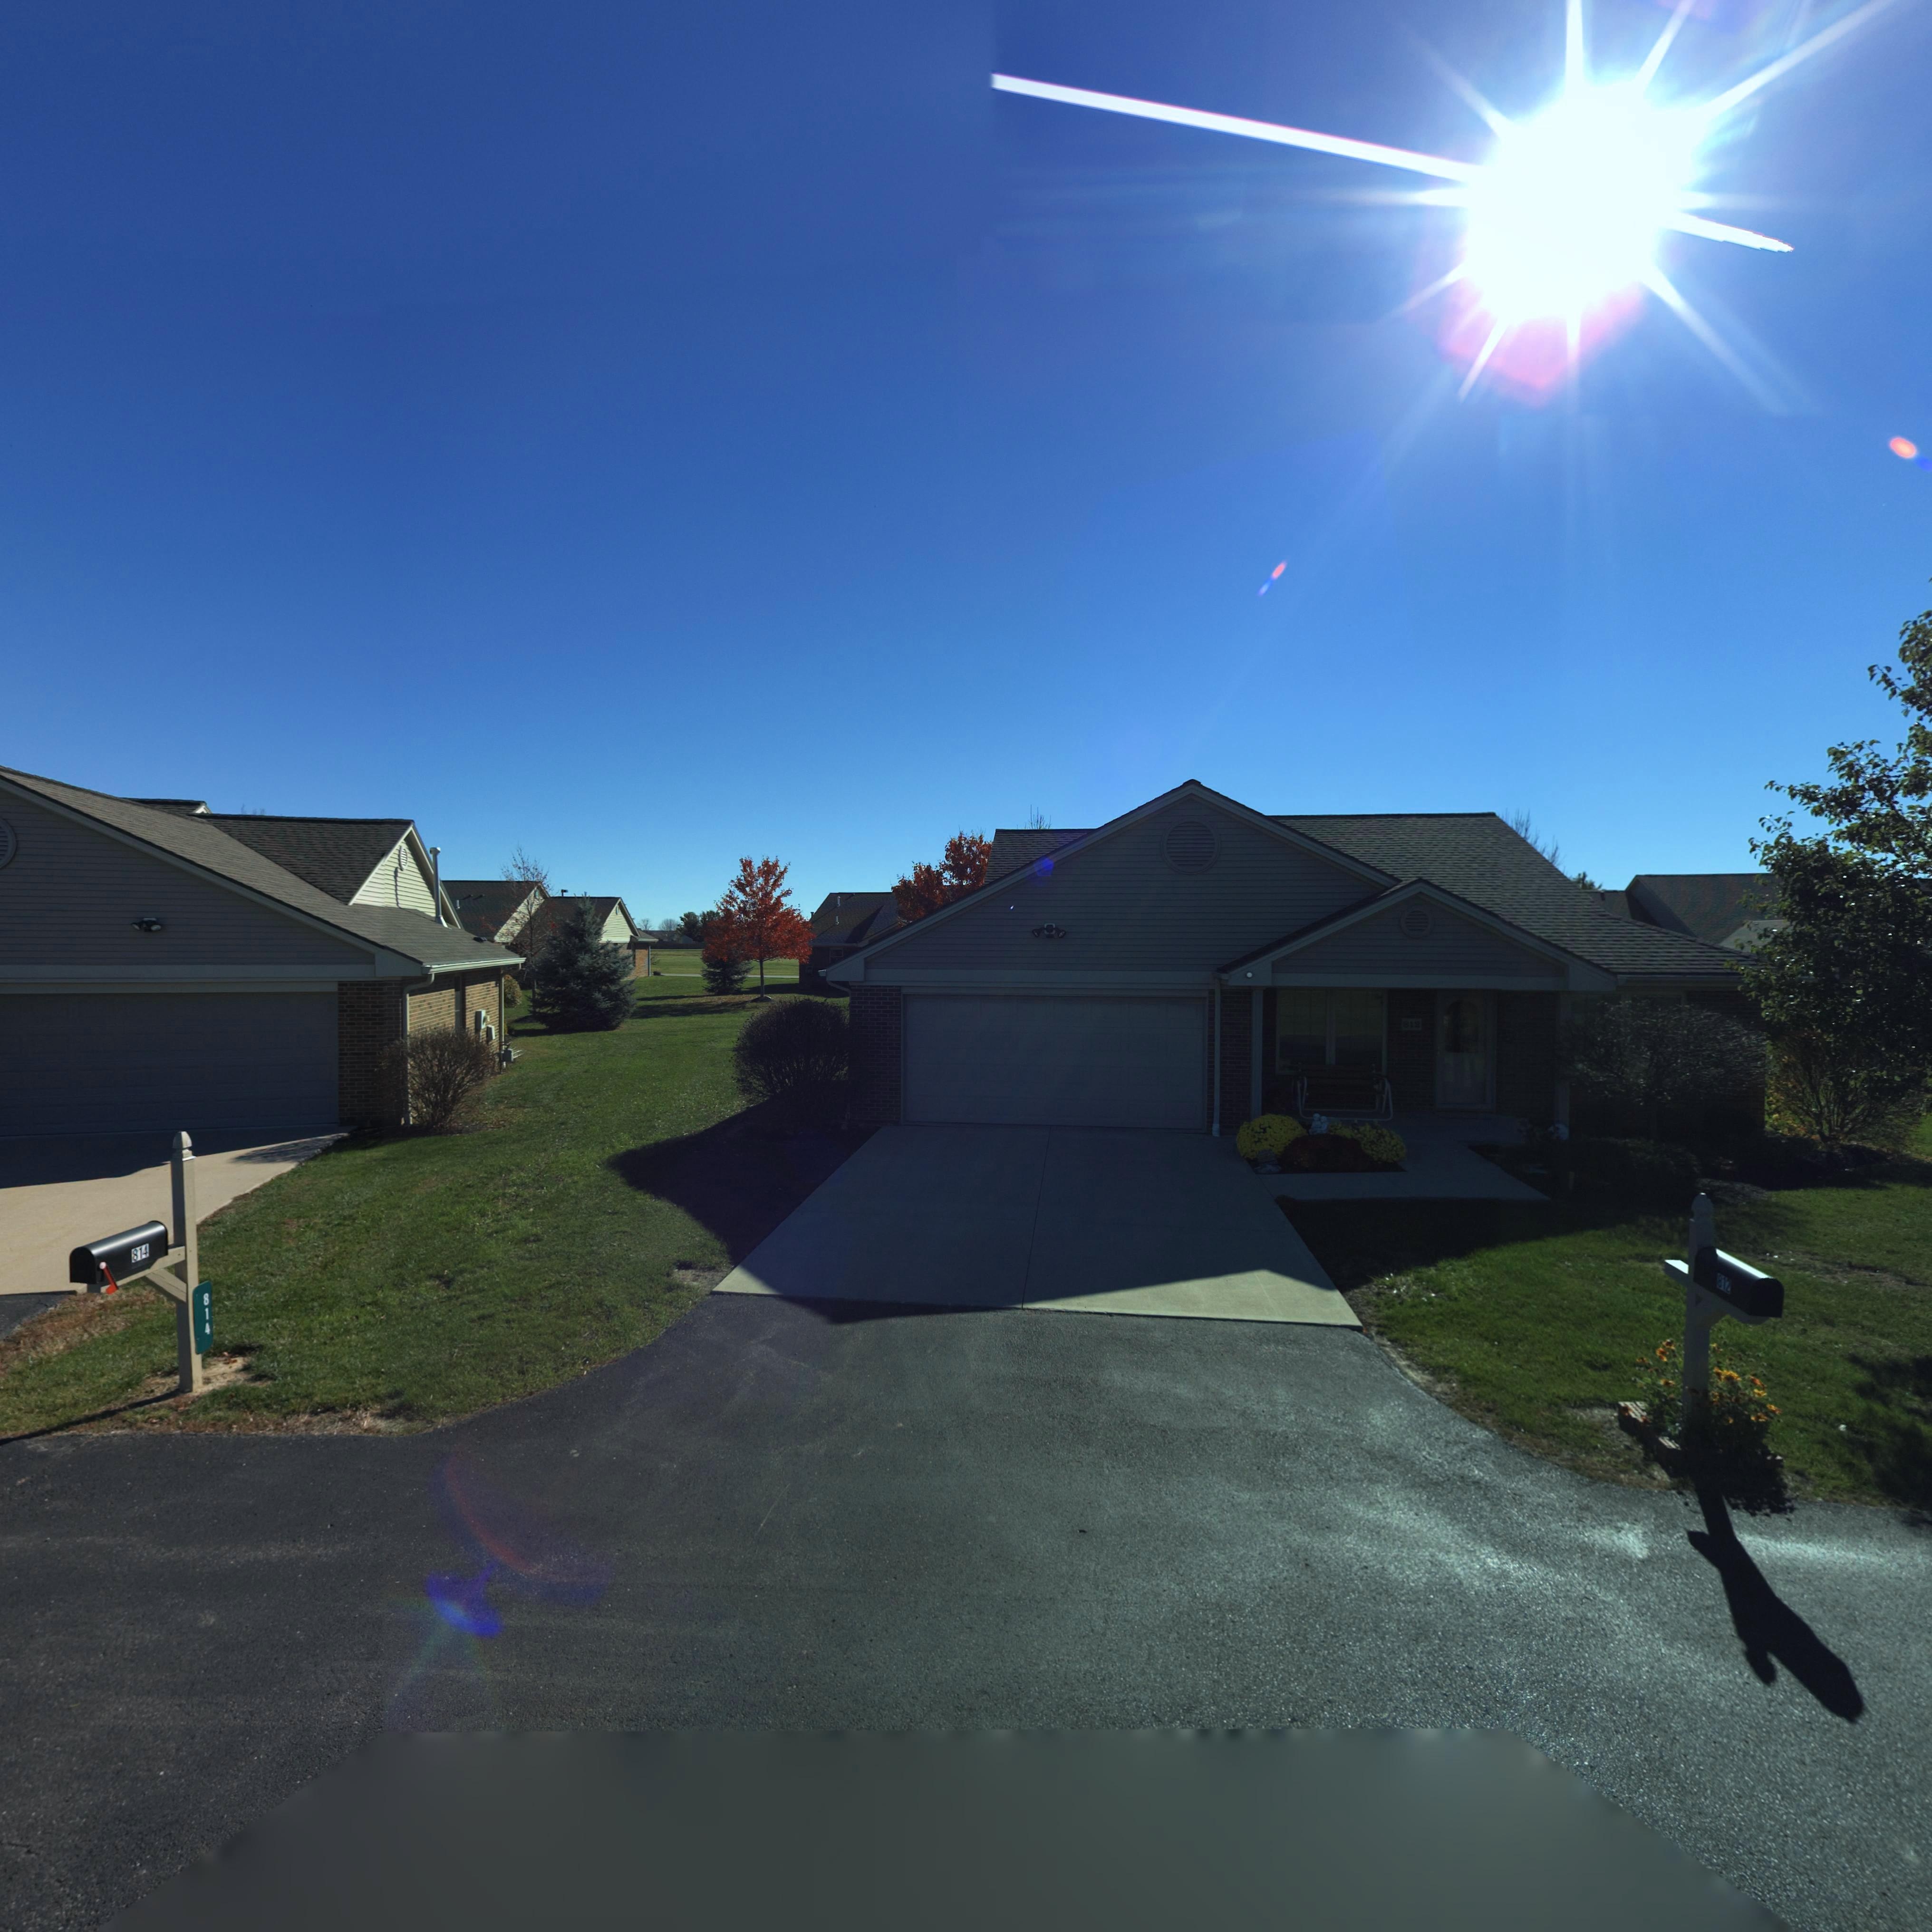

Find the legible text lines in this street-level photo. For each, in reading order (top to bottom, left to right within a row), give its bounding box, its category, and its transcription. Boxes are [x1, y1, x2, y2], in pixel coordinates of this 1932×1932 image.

[1402, 1020, 1421, 1029] StreetNumber: 812
[132, 1243, 148, 1263] StreetNumber: 814
[1716, 1274, 1732, 1294] StreetNumber: 812
[203, 1292, 211, 1336] StreetNumber: 814